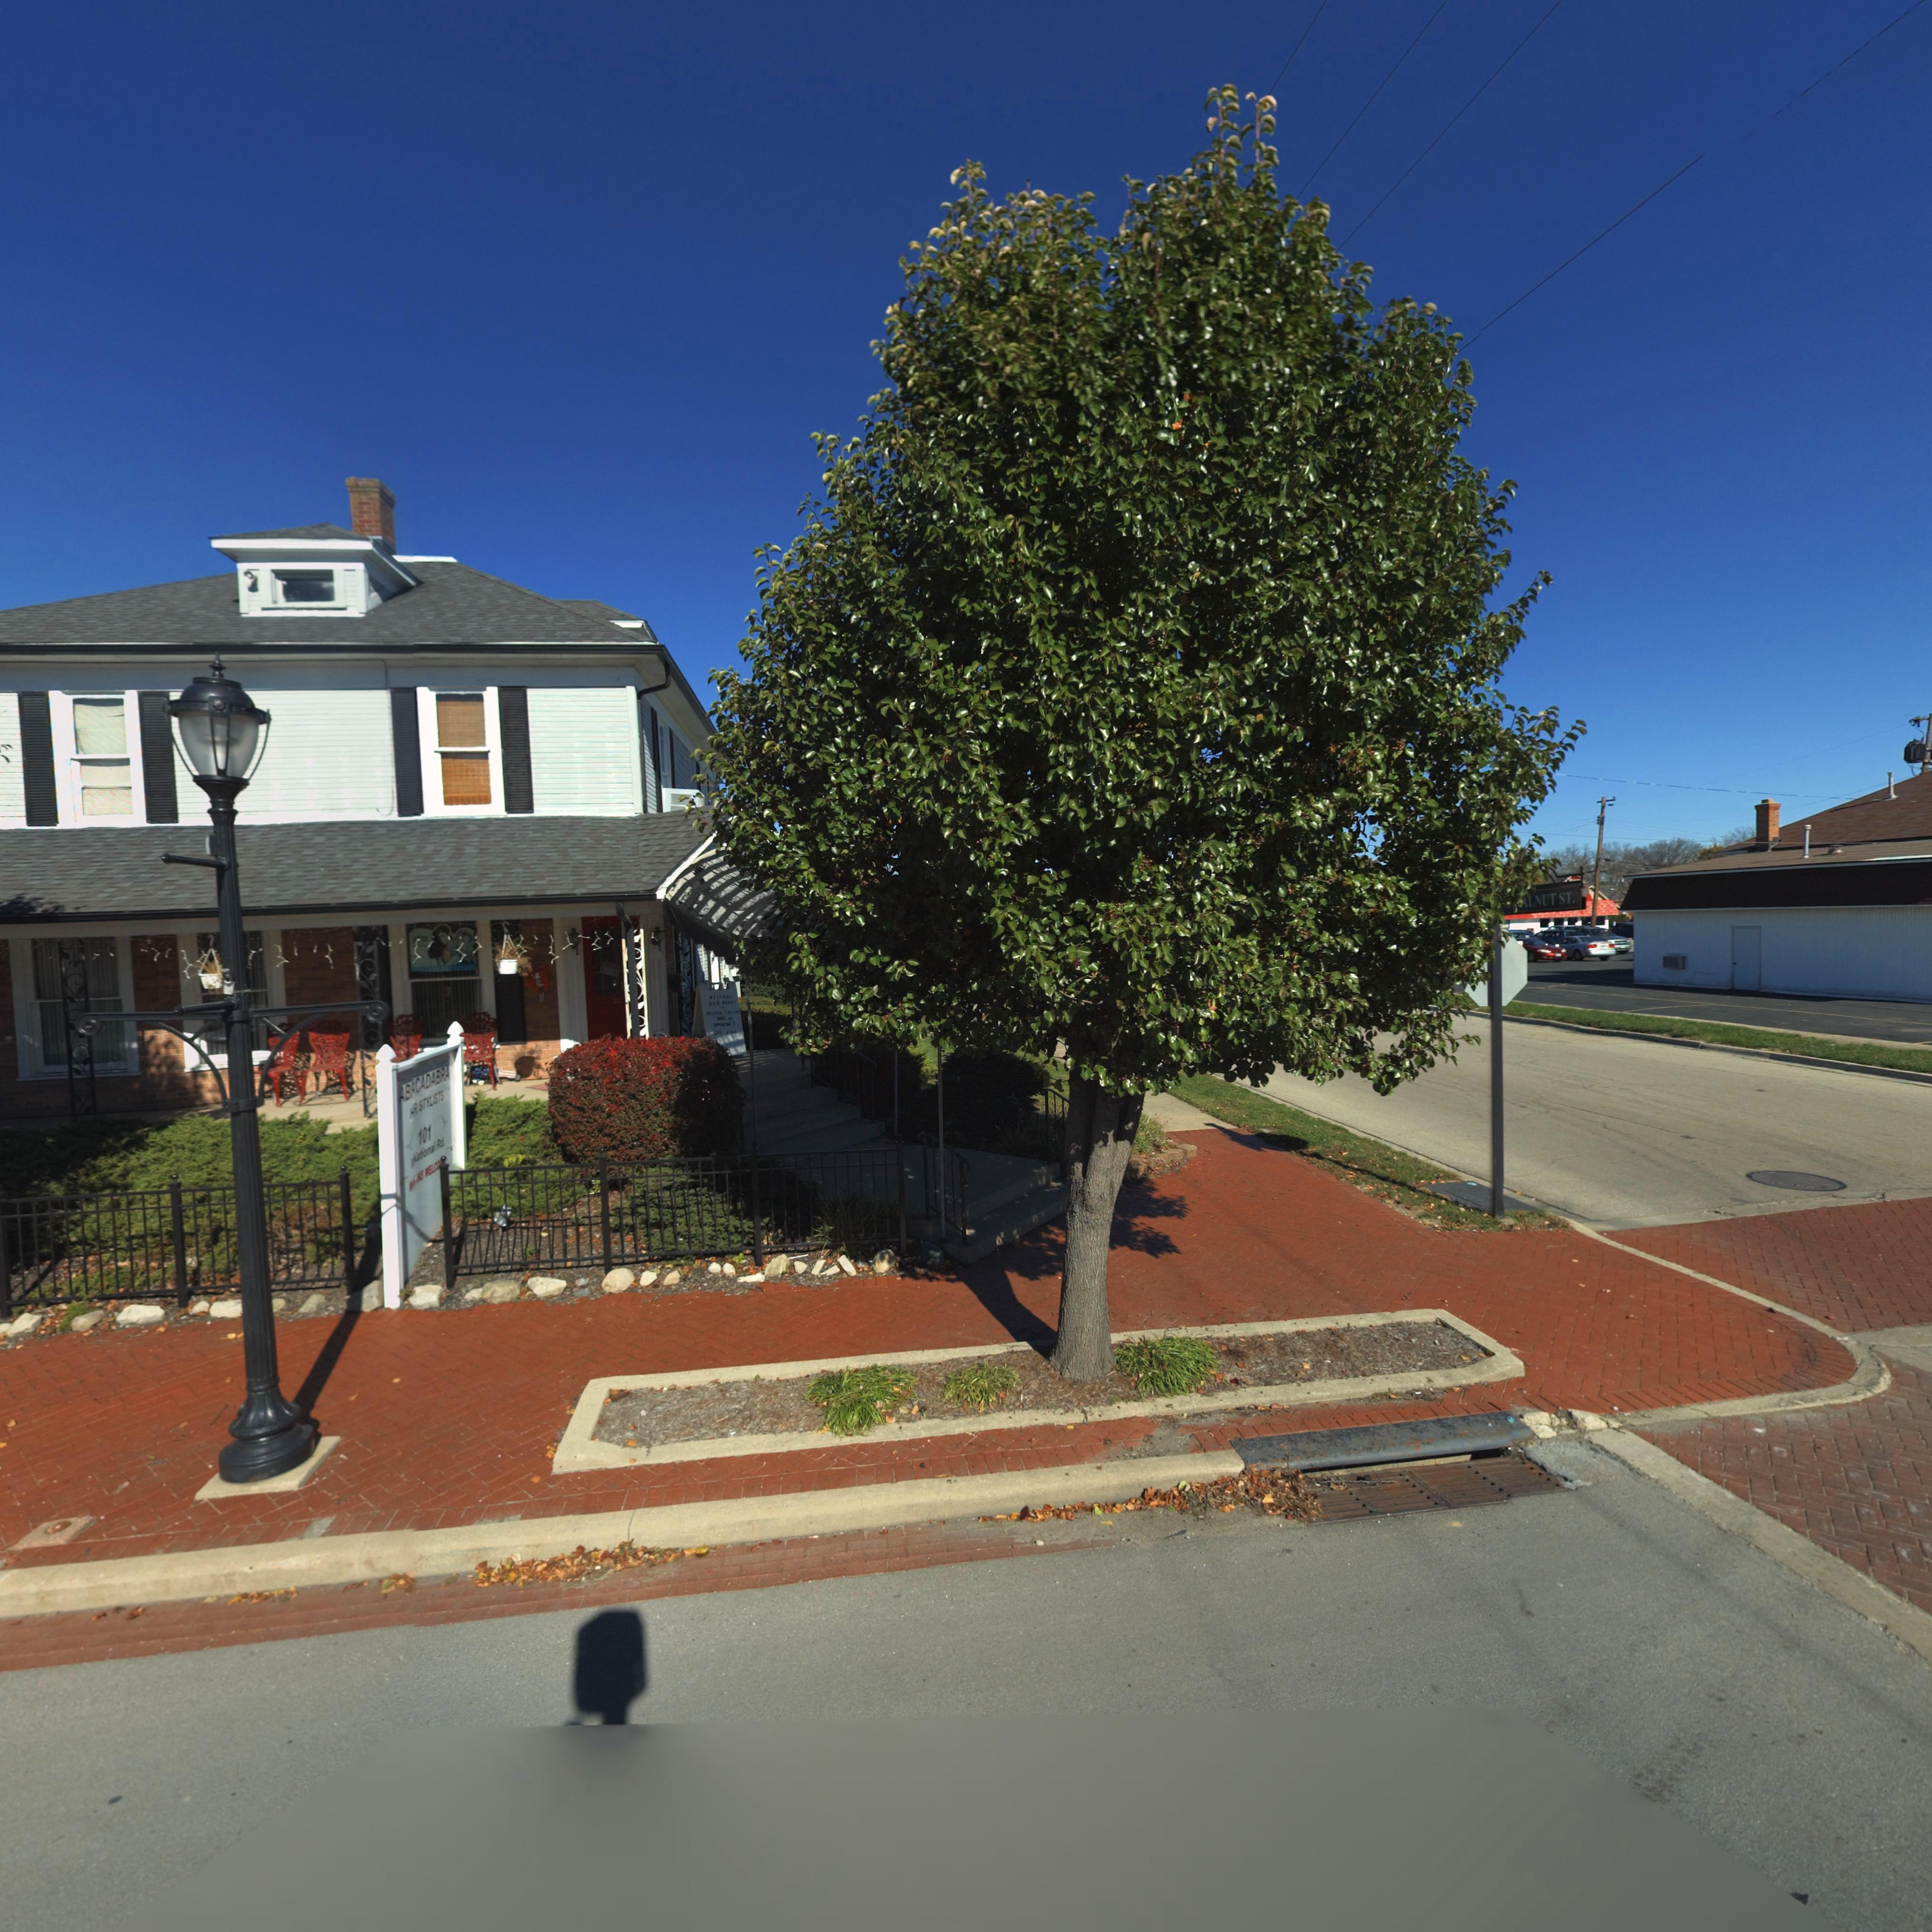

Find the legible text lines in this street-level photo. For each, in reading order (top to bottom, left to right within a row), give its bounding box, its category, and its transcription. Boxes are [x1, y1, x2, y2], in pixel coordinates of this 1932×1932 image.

[397, 1064, 451, 1105] BusinessName: AB*CADABRA
[418, 1089, 444, 1113] BusinessName: STYLISTS
[419, 1123, 432, 1147] StreetNumber: 101
[412, 1135, 446, 1166] StreetName: National Rd.